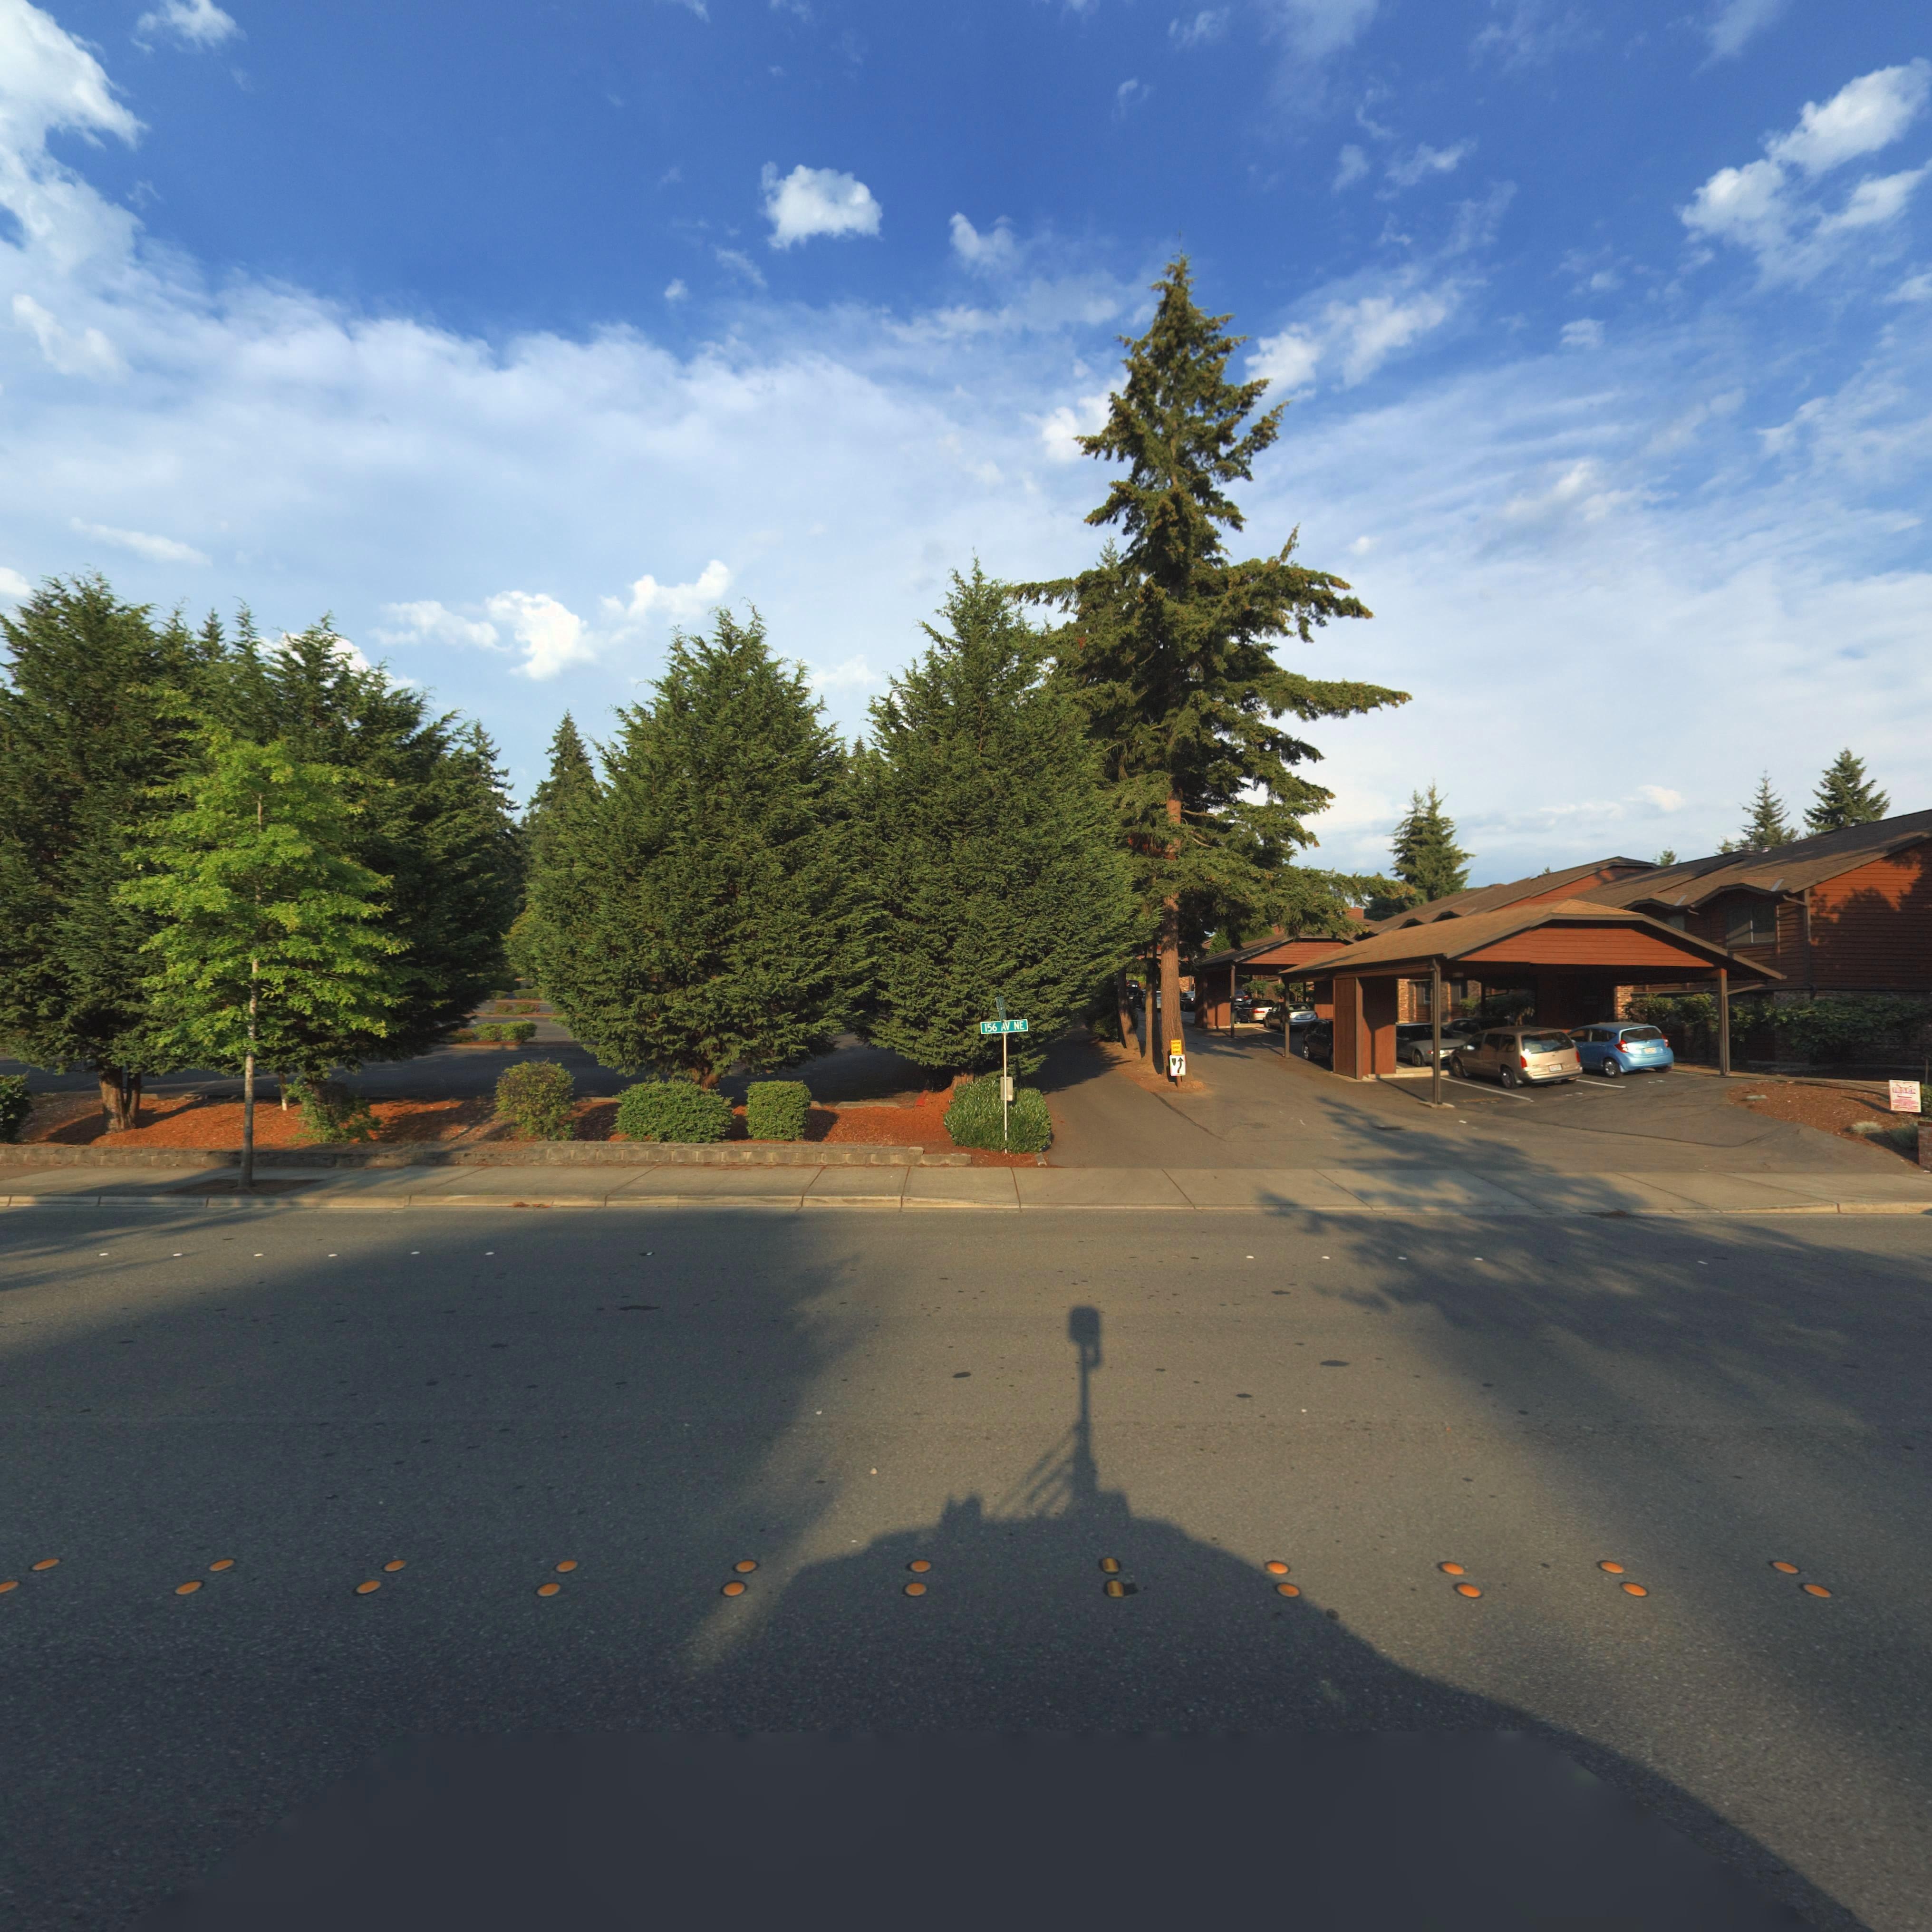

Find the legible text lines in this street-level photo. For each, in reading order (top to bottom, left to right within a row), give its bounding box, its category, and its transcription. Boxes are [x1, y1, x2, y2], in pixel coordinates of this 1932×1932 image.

[983, 1019, 1025, 1032] StreetName: 156 AV NE